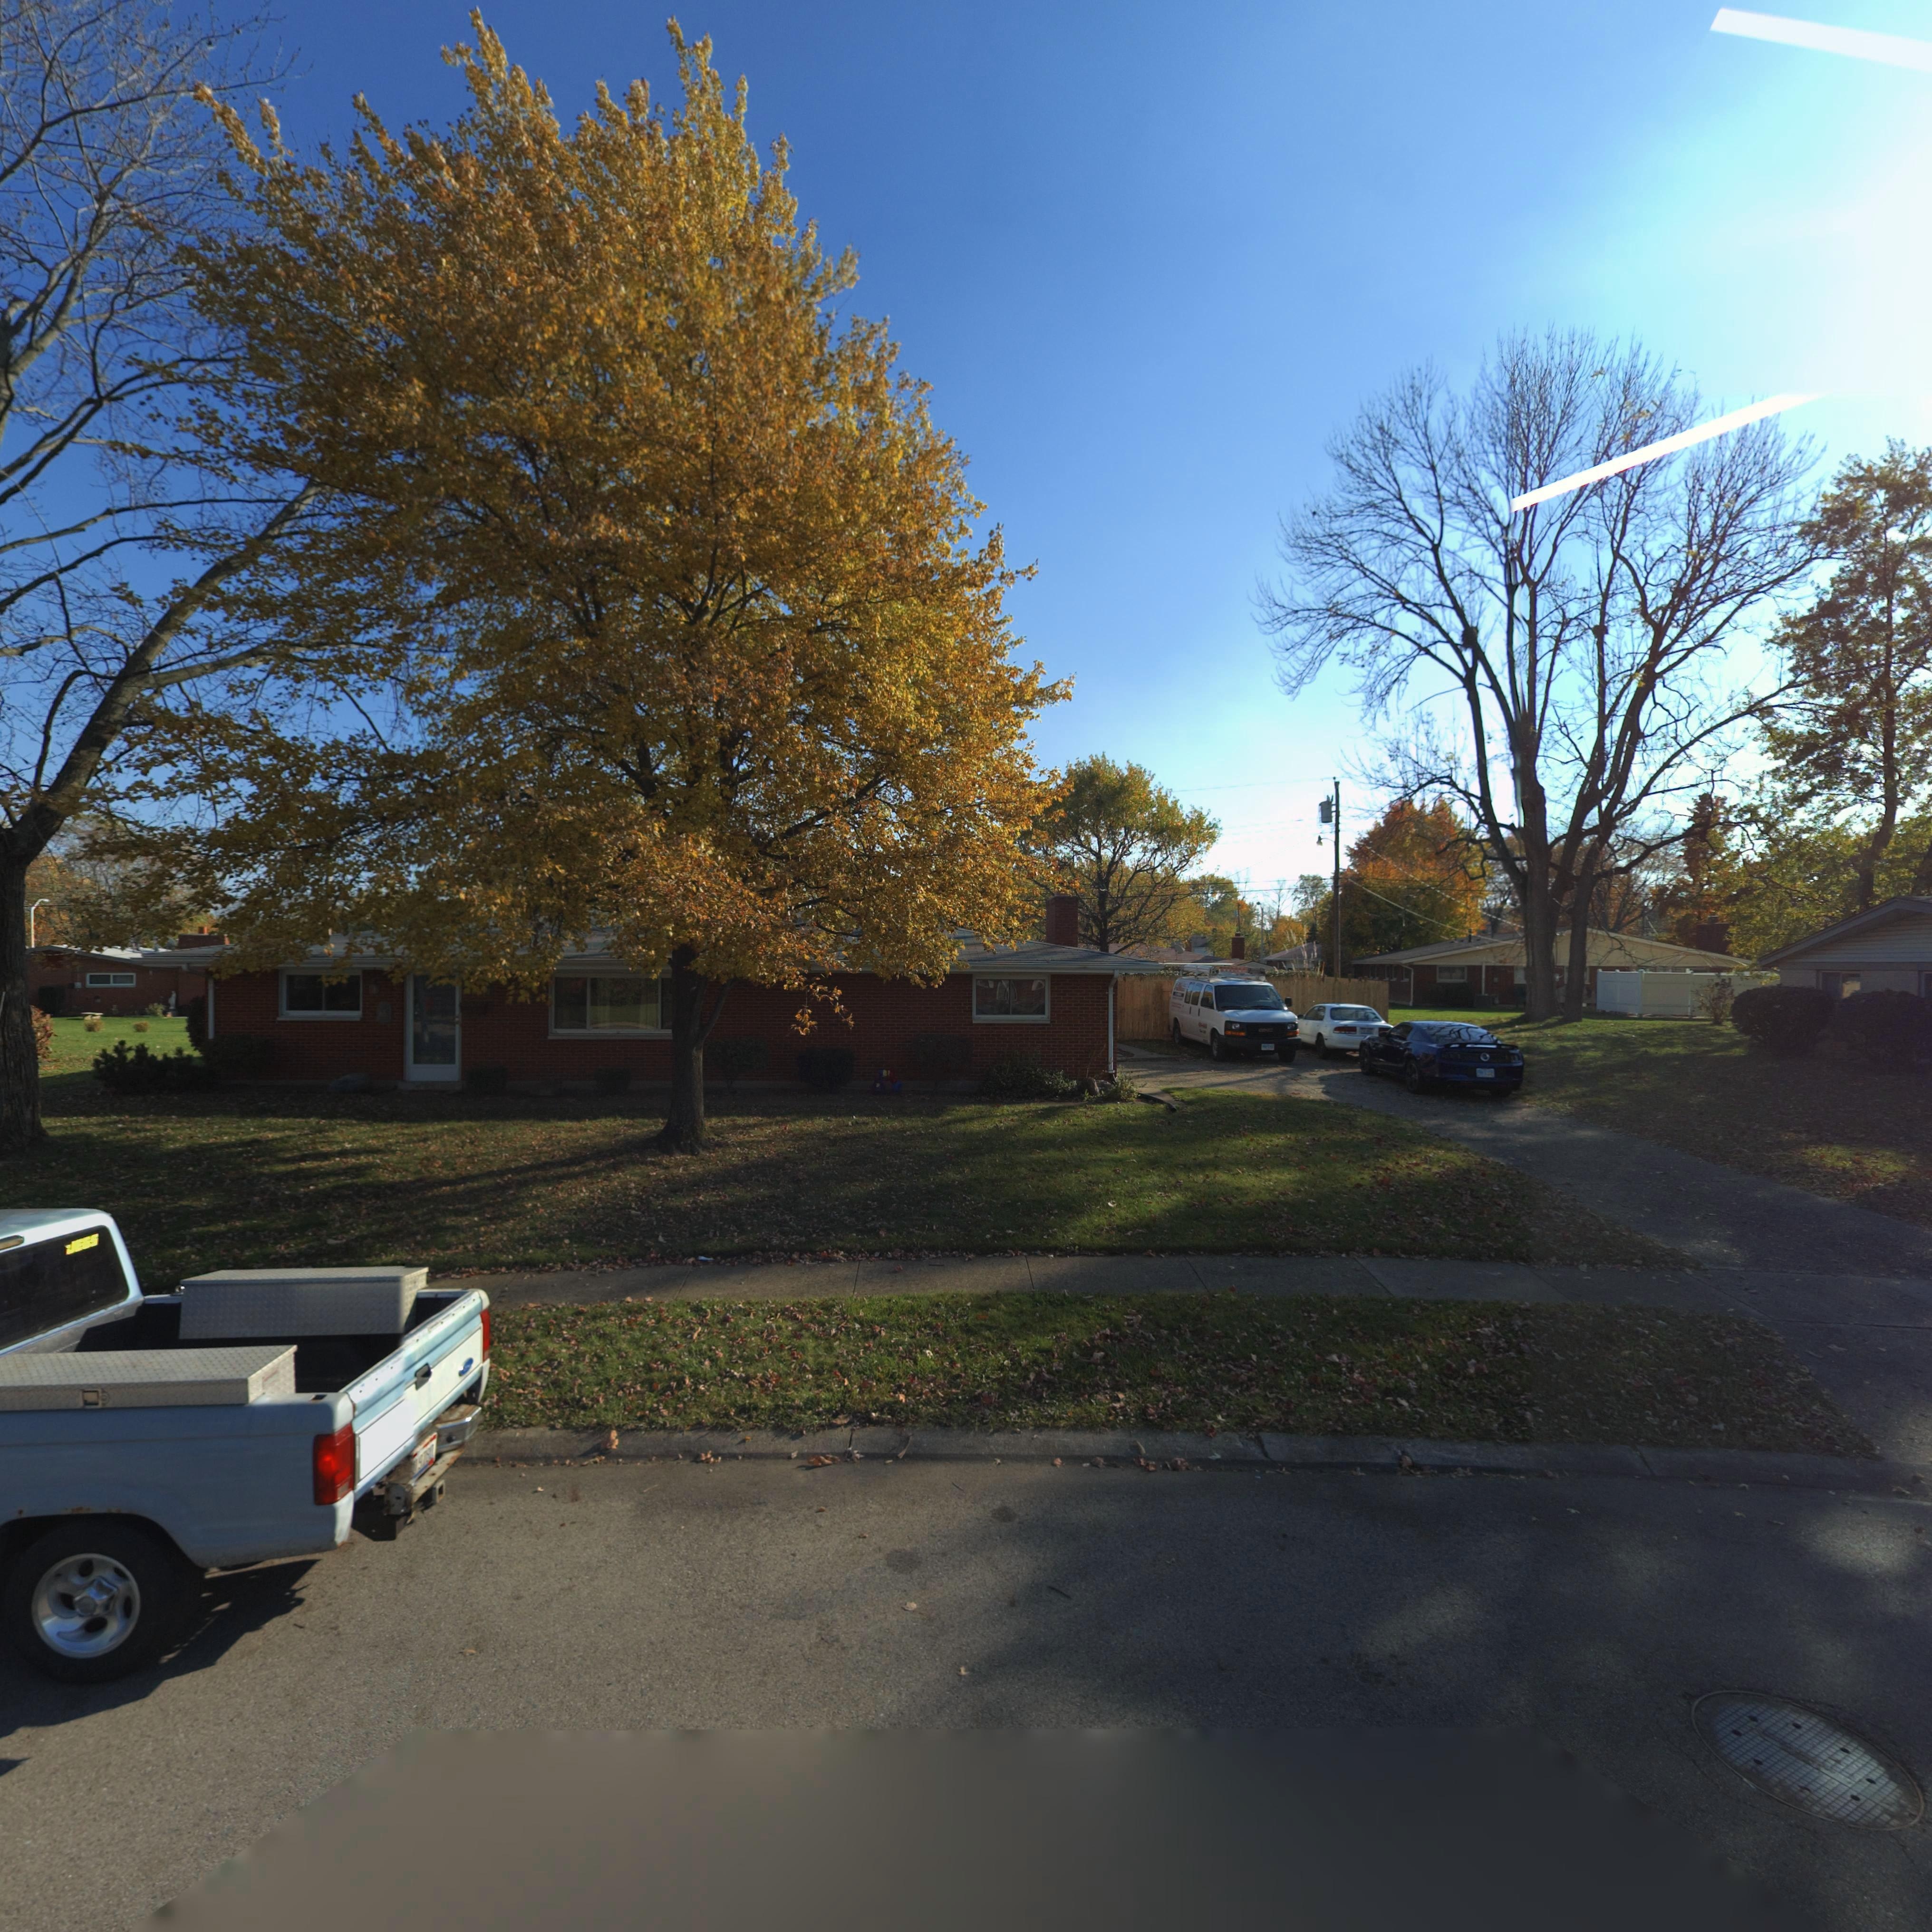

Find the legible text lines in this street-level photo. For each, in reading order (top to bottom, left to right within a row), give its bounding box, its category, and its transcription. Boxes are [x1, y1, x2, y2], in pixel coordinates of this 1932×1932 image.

[377, 1009, 391, 1018] StreetNumber: 65*